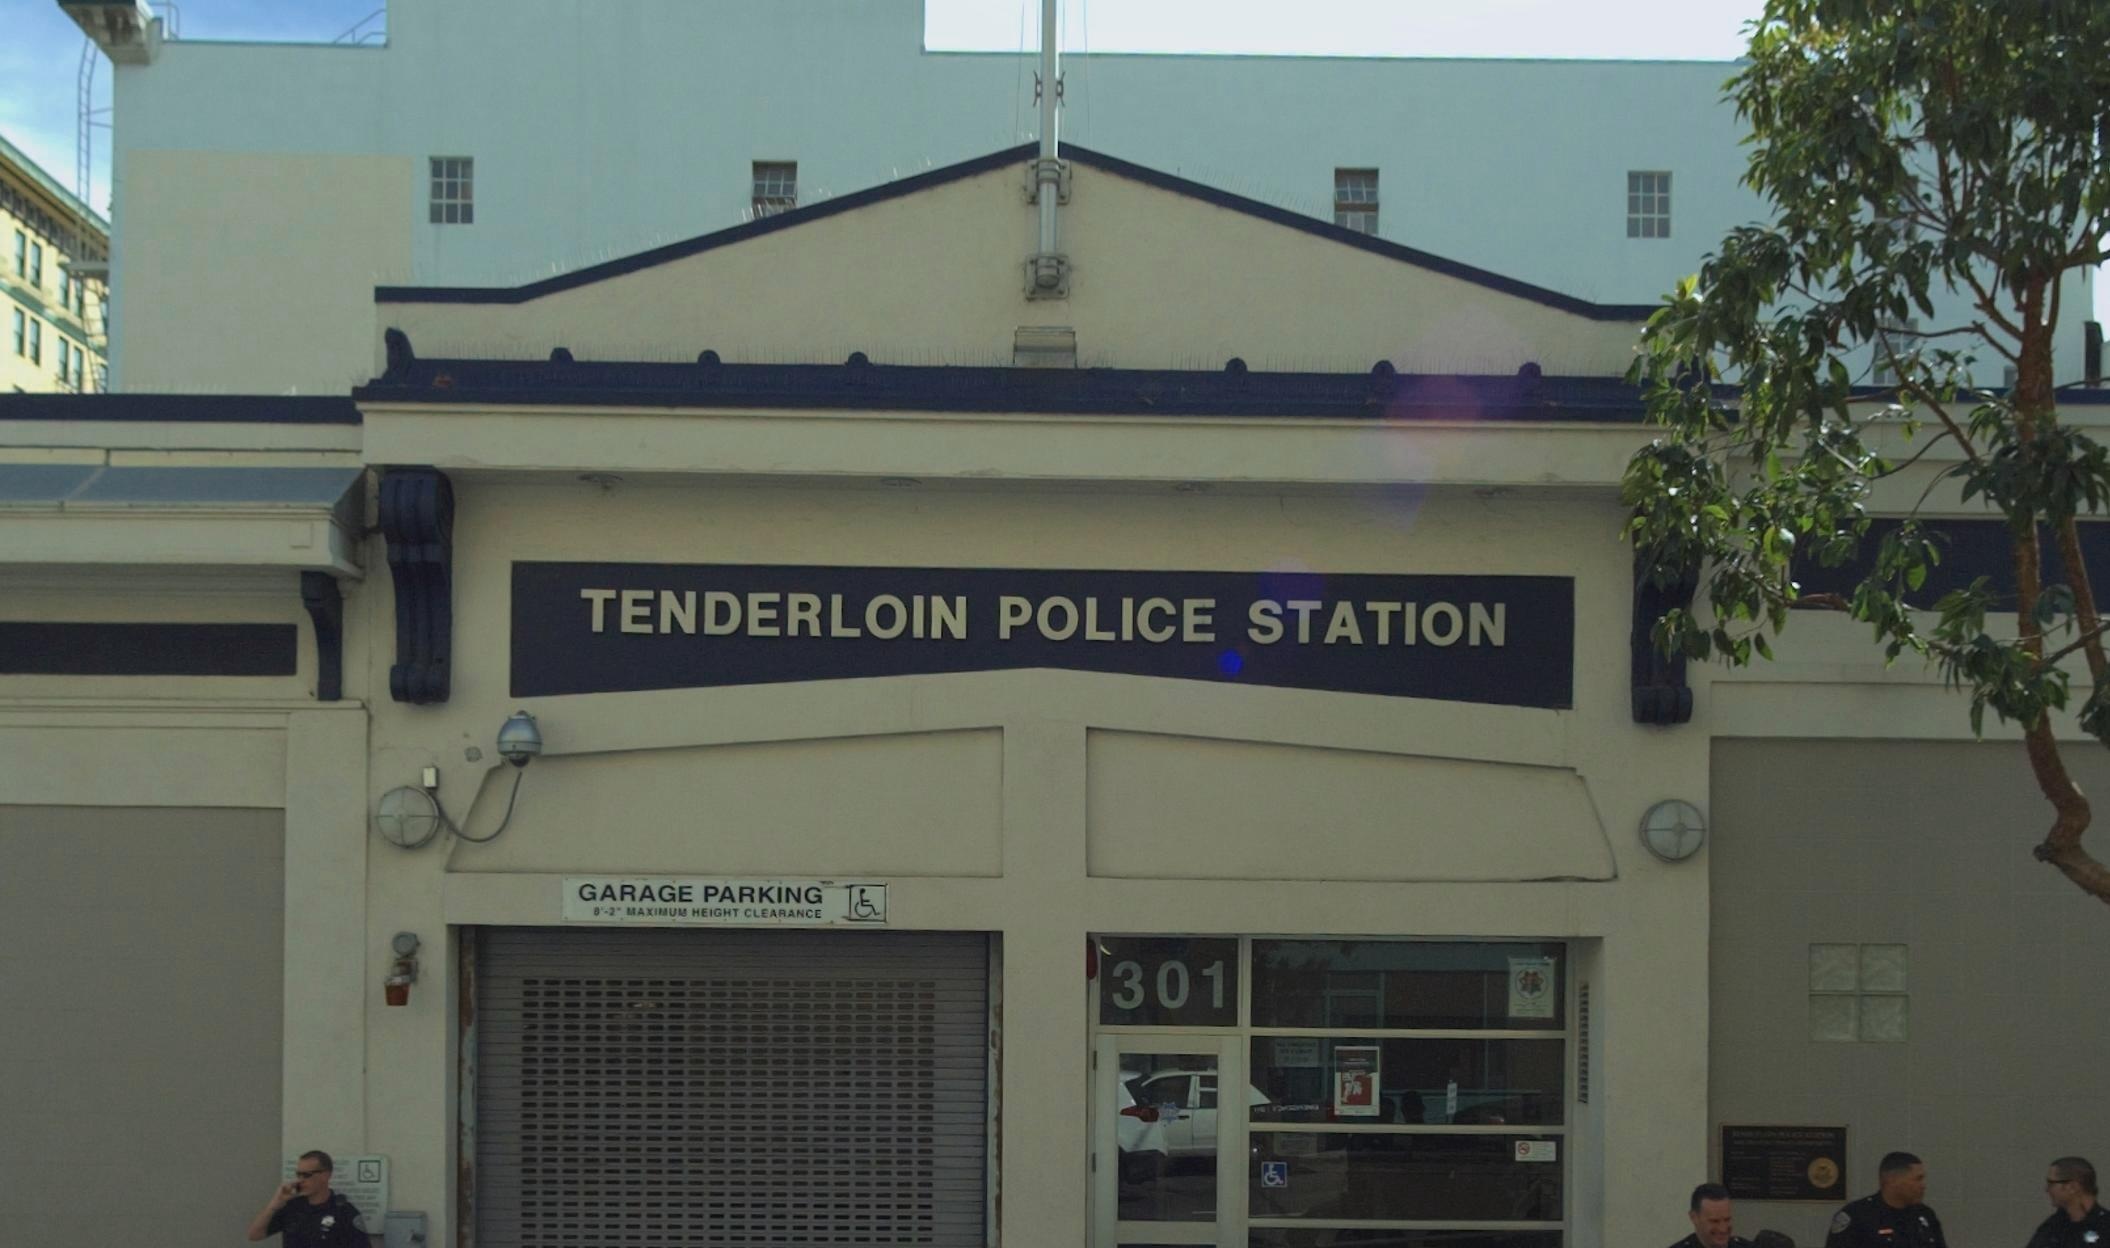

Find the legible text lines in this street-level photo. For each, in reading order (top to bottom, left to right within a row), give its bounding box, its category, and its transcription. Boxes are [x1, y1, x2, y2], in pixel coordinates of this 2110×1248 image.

[575, 585, 1510, 651] BusinessName: TENDERLOIN POLICE STATION
[575, 882, 826, 907] None: GARAGE PARKING
[589, 905, 825, 920] None: 8'-2" MAXIUM HEIGHT CLEARANCE
[1108, 957, 1227, 1016] StreetNumber: 301